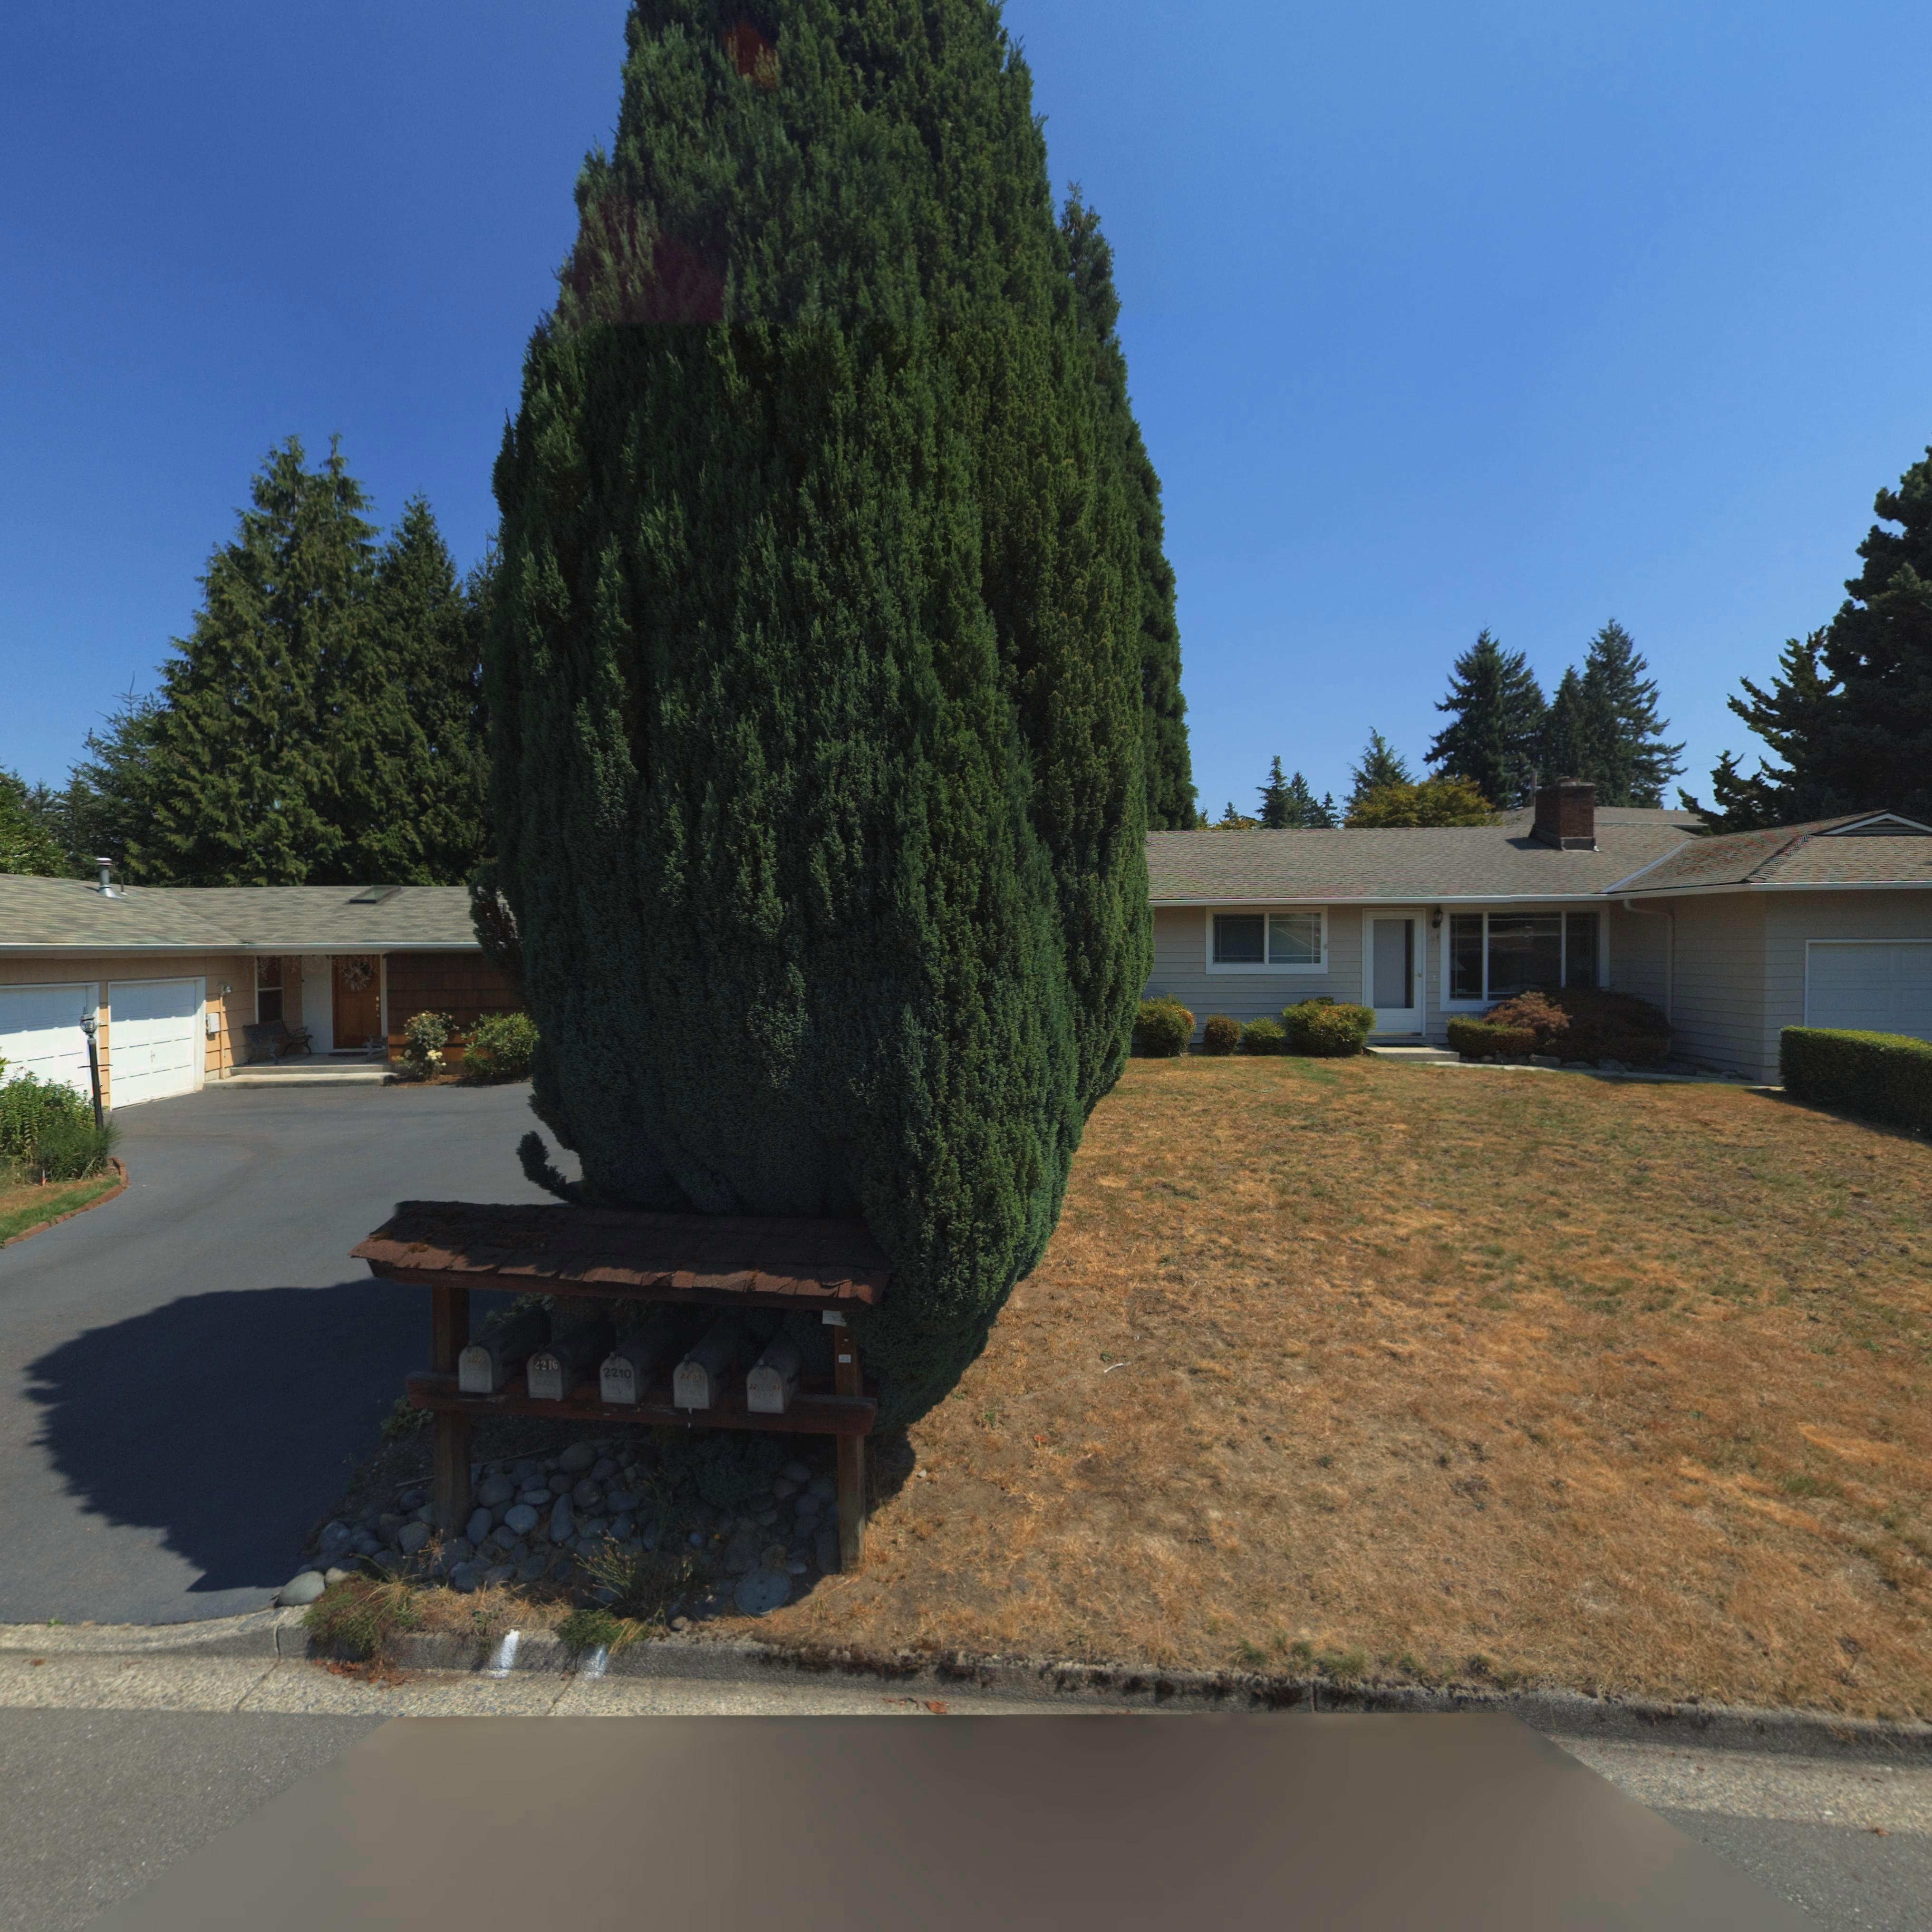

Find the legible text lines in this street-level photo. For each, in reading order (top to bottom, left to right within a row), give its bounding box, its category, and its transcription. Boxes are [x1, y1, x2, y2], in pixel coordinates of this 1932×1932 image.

[533, 1359, 560, 1370] StreetNumber: 2216
[603, 1368, 631, 1379] StreetNumber: 2210
[678, 1371, 703, 1380] StreetNumber: 2203
[749, 1382, 757, 1390] StreetNumber: 22
[772, 1384, 780, 1390] StreetNumber: 03